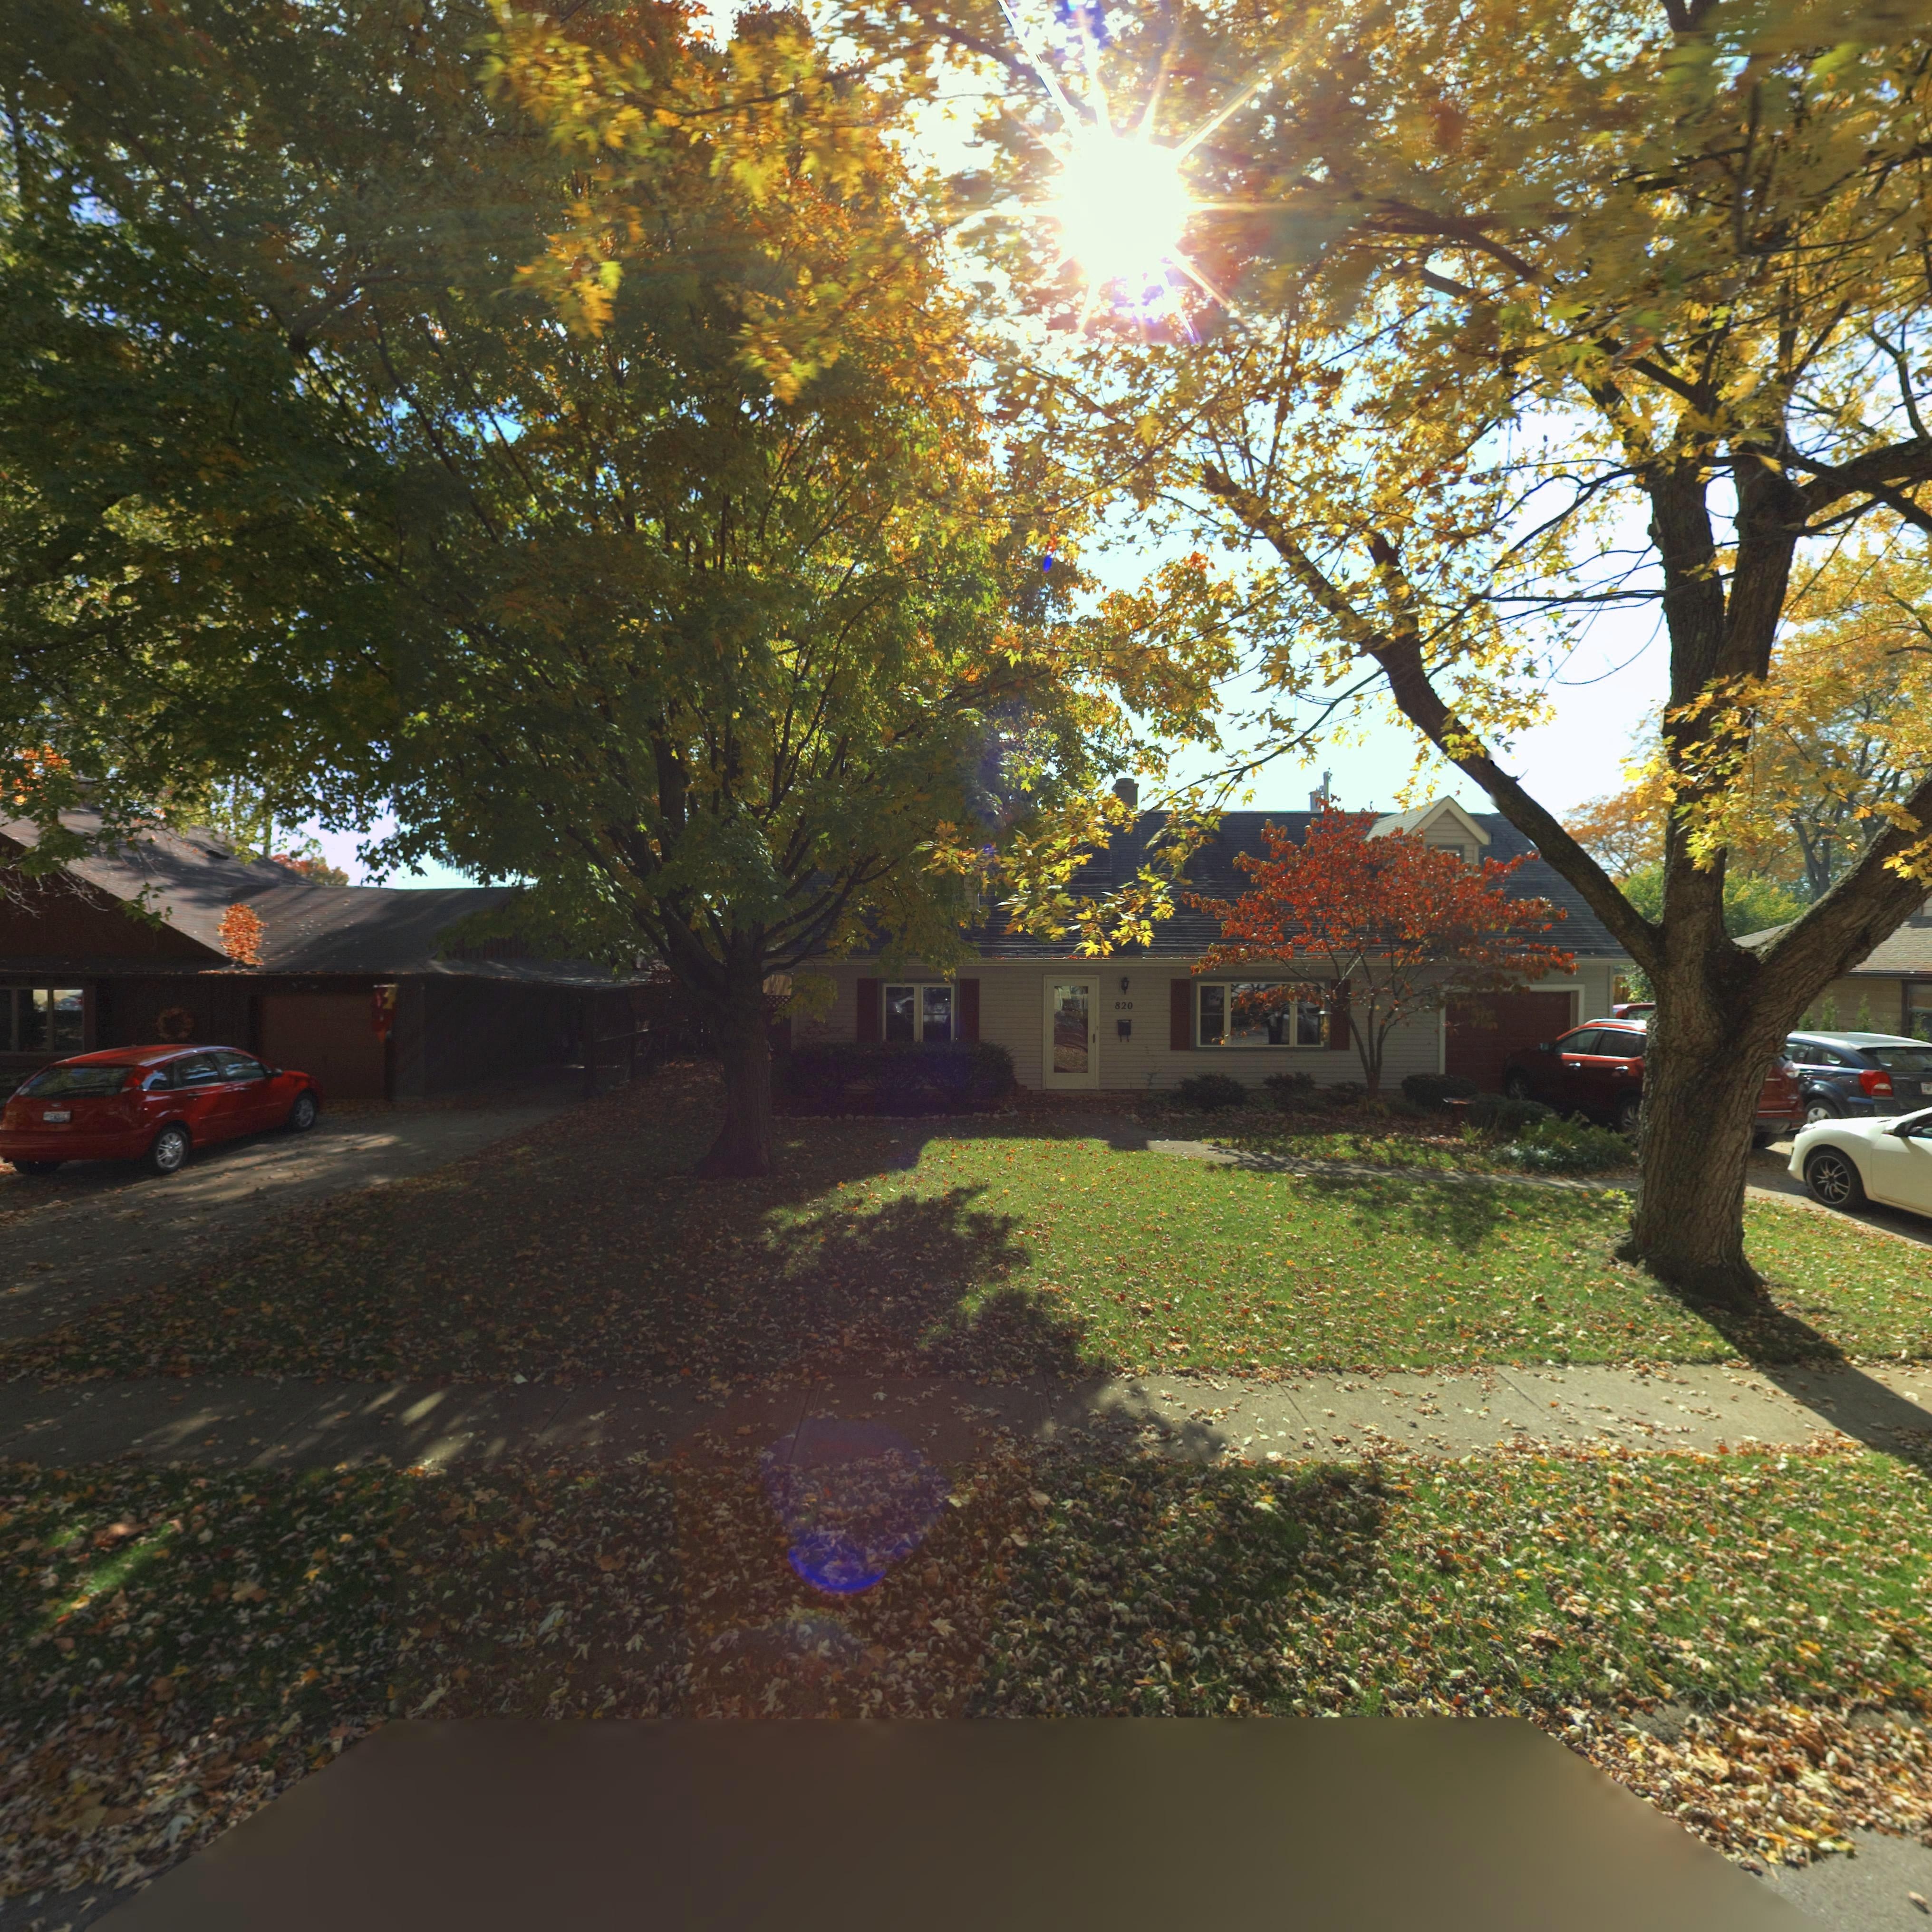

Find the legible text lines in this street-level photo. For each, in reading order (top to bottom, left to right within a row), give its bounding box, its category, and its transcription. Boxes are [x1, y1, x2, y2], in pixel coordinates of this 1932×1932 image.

[1114, 1001, 1133, 1010] StreetNumber: 820